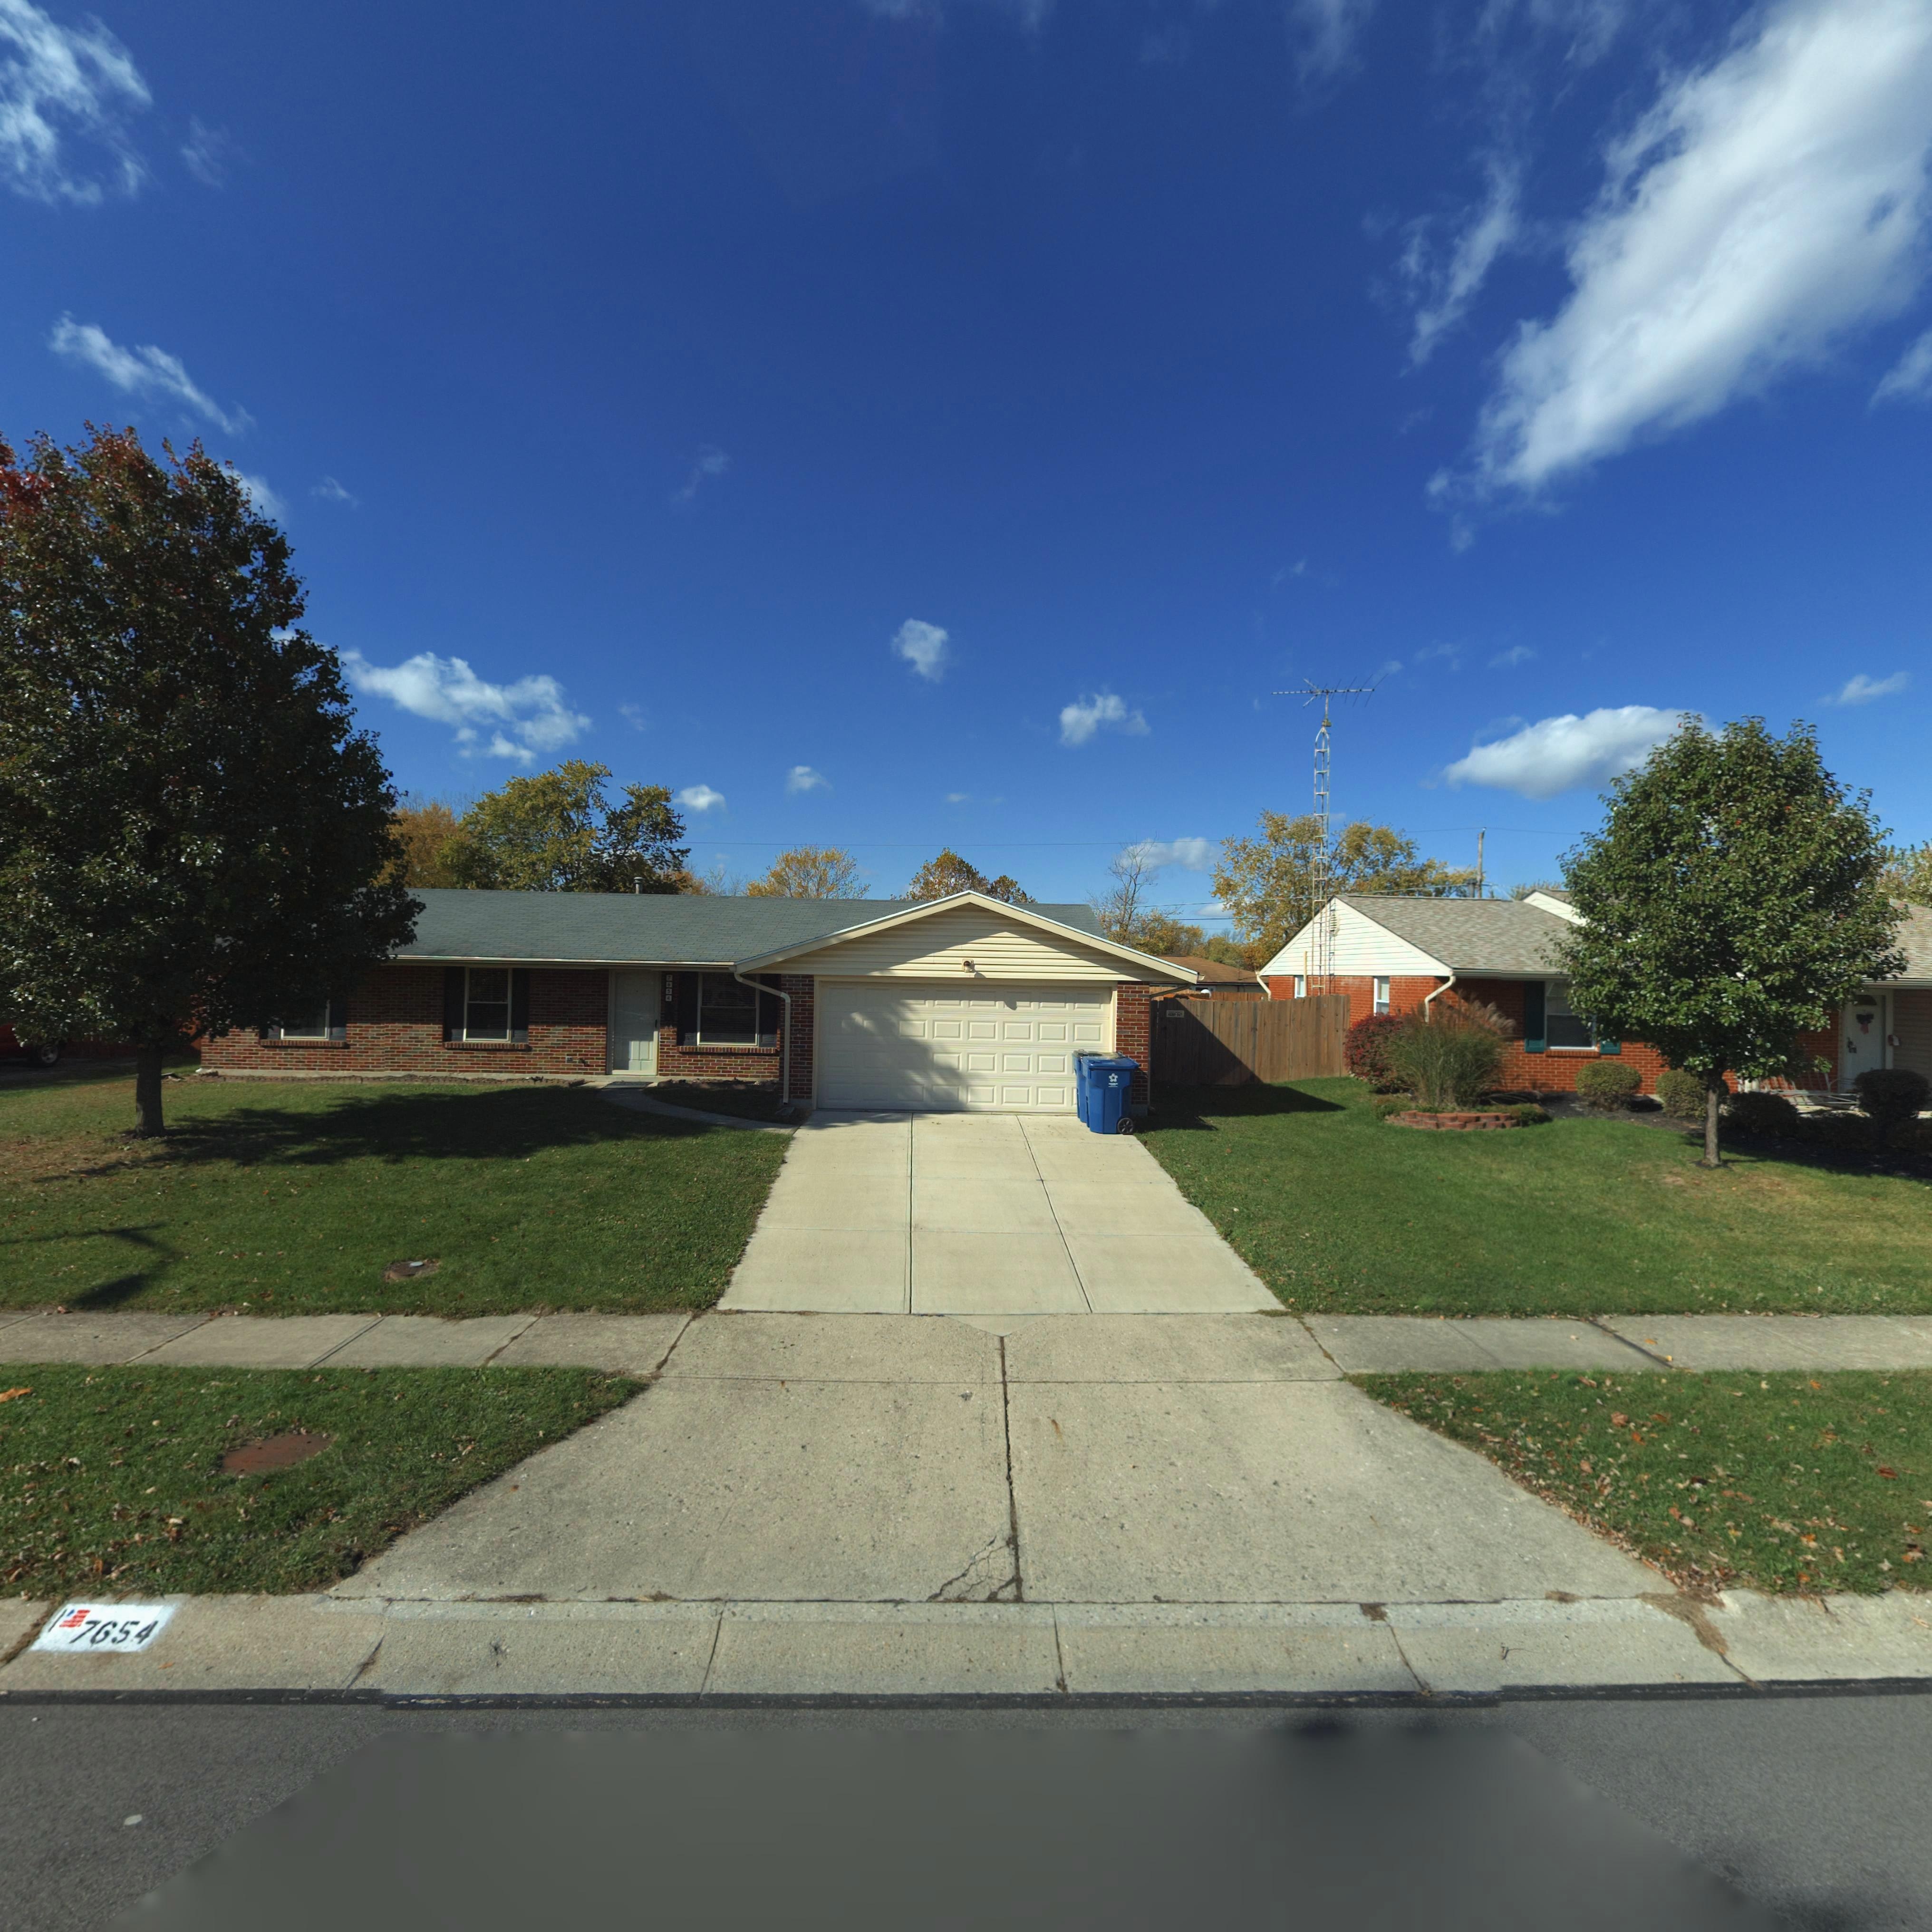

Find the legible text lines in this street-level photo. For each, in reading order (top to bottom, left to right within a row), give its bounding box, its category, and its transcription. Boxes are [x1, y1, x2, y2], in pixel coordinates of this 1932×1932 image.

[666, 975, 672, 1002] StreetNumber: 7654
[64, 1617, 162, 1647] StreetNumber: 7654